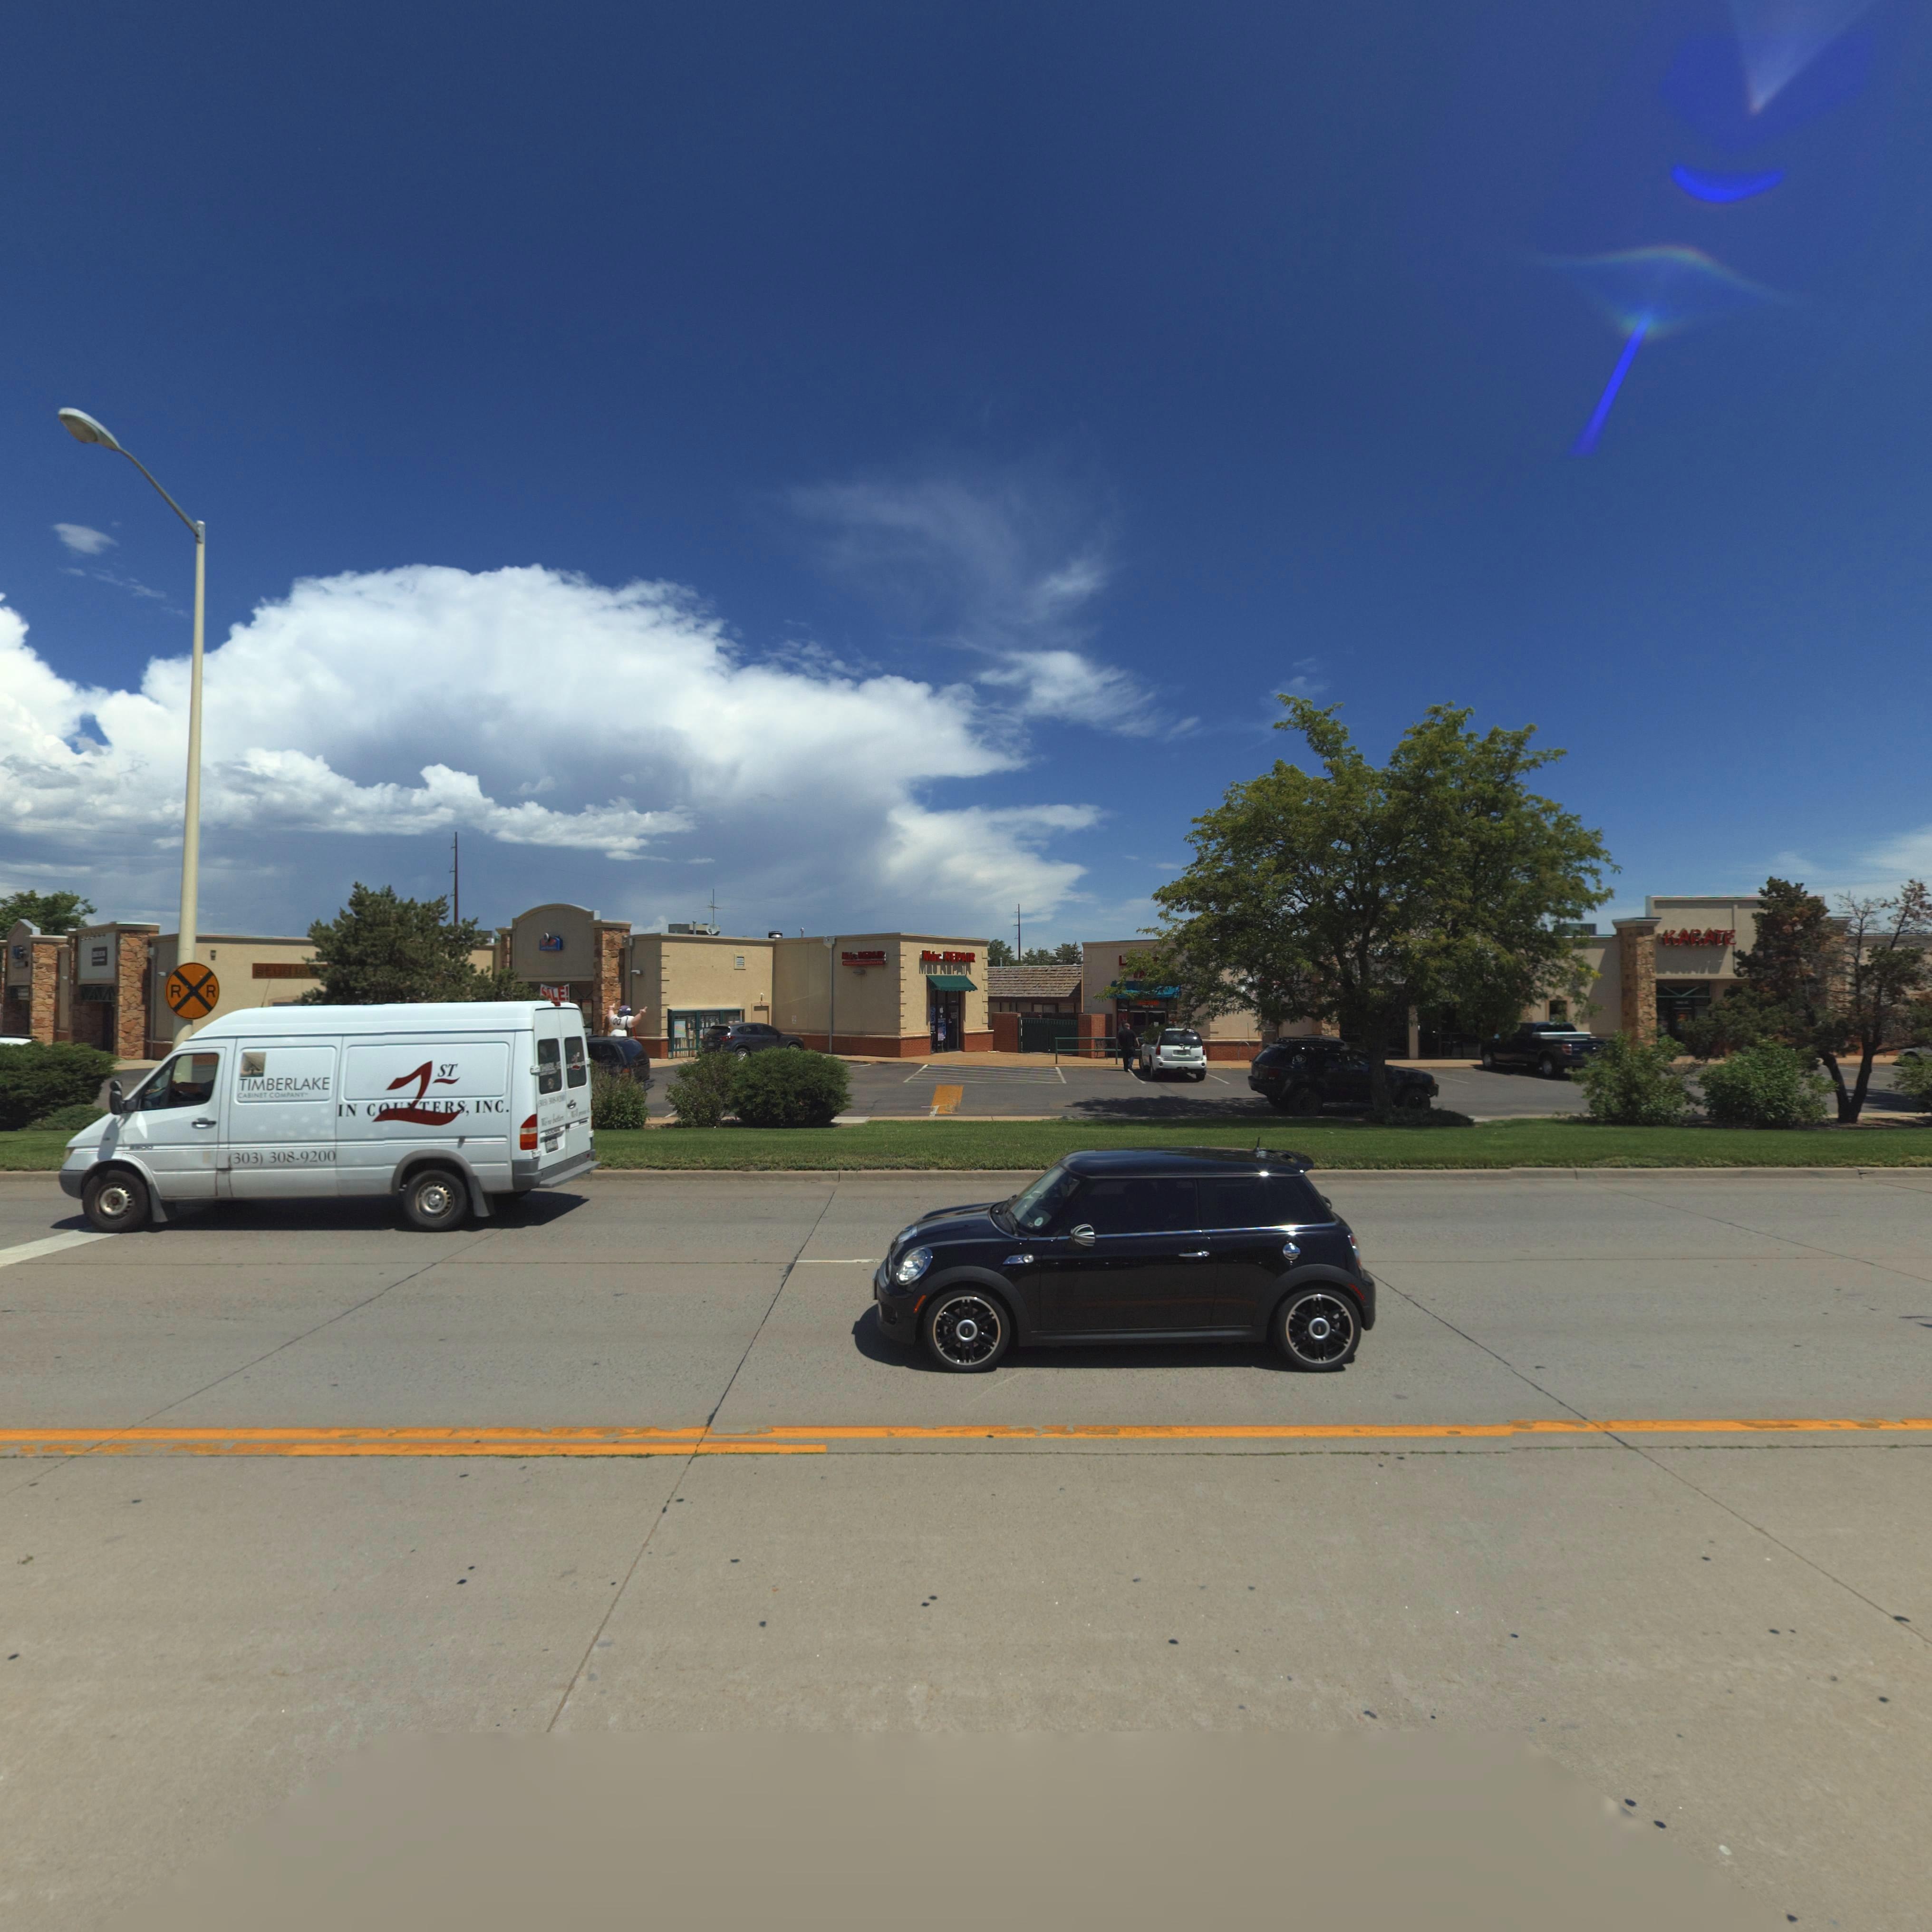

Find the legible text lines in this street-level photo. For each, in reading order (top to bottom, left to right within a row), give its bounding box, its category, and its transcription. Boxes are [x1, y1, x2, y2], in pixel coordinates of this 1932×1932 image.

[841, 950, 884, 959] BusinessName: Mac REPAIR
[923, 950, 976, 962] BusinessName: Mac REPAIR